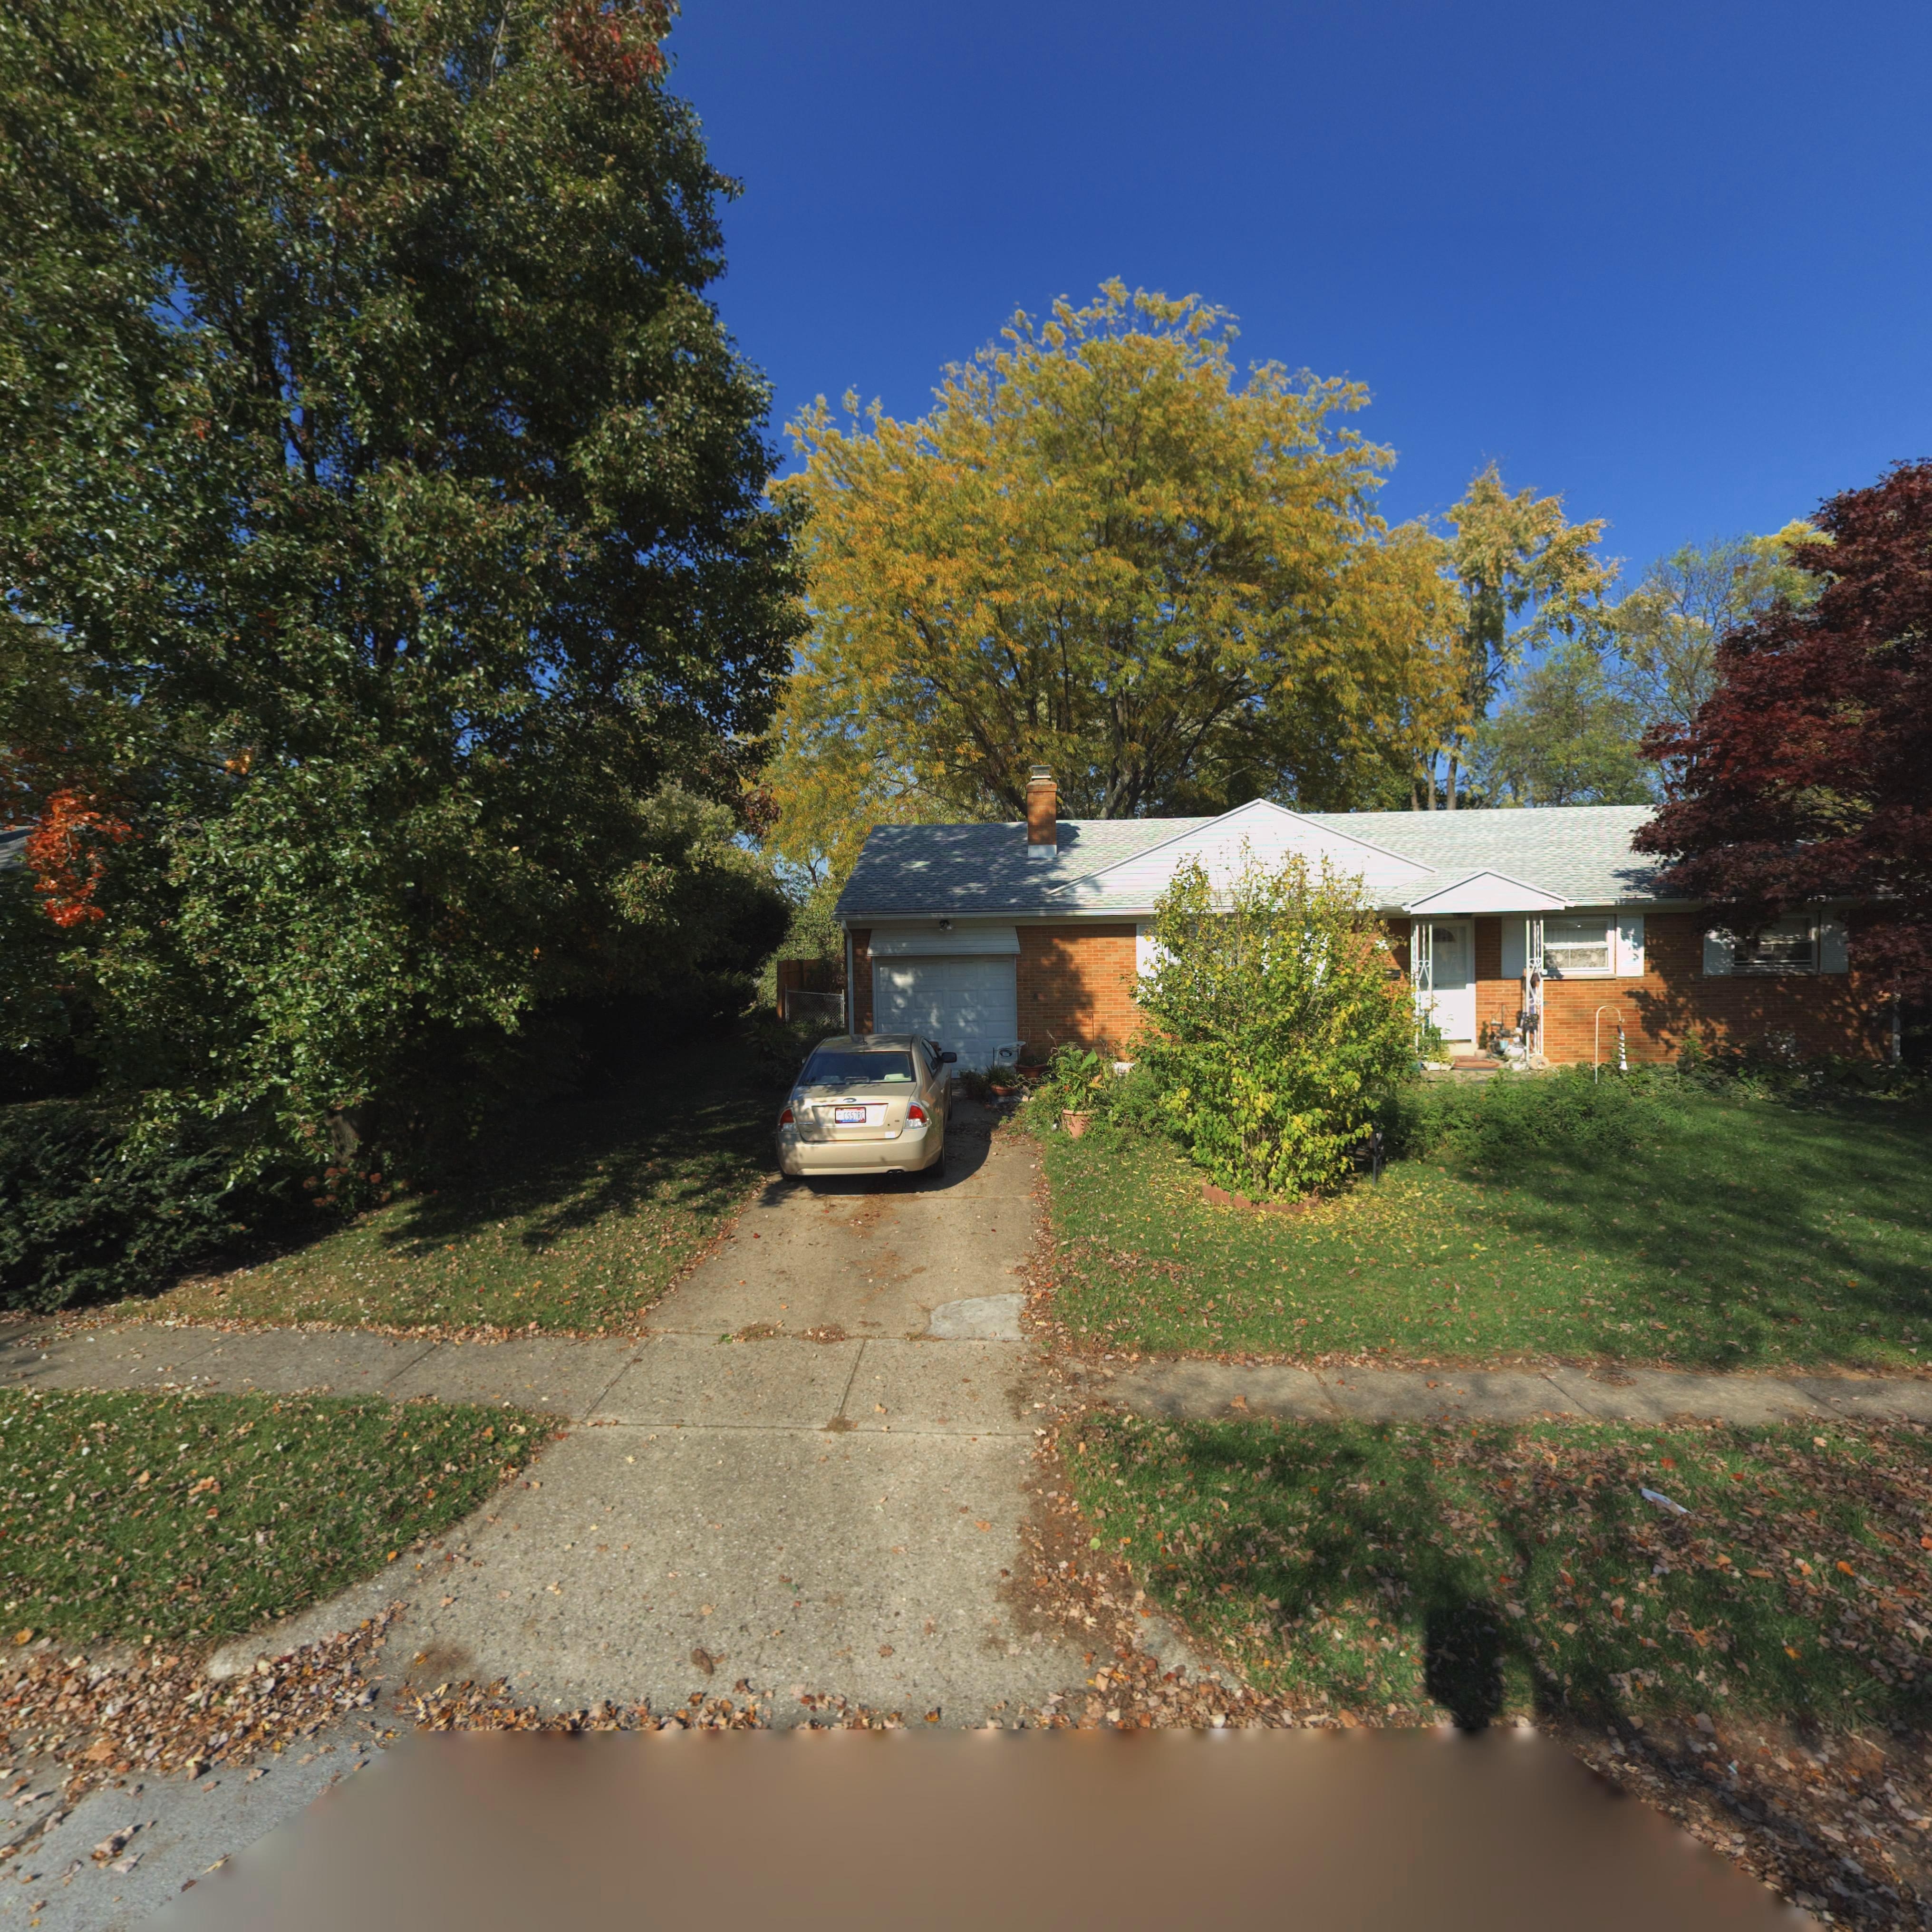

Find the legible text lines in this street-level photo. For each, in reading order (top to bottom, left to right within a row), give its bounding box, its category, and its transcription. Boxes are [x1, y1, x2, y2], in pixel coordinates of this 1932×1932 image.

[843, 1111, 865, 1120] None: C557RC